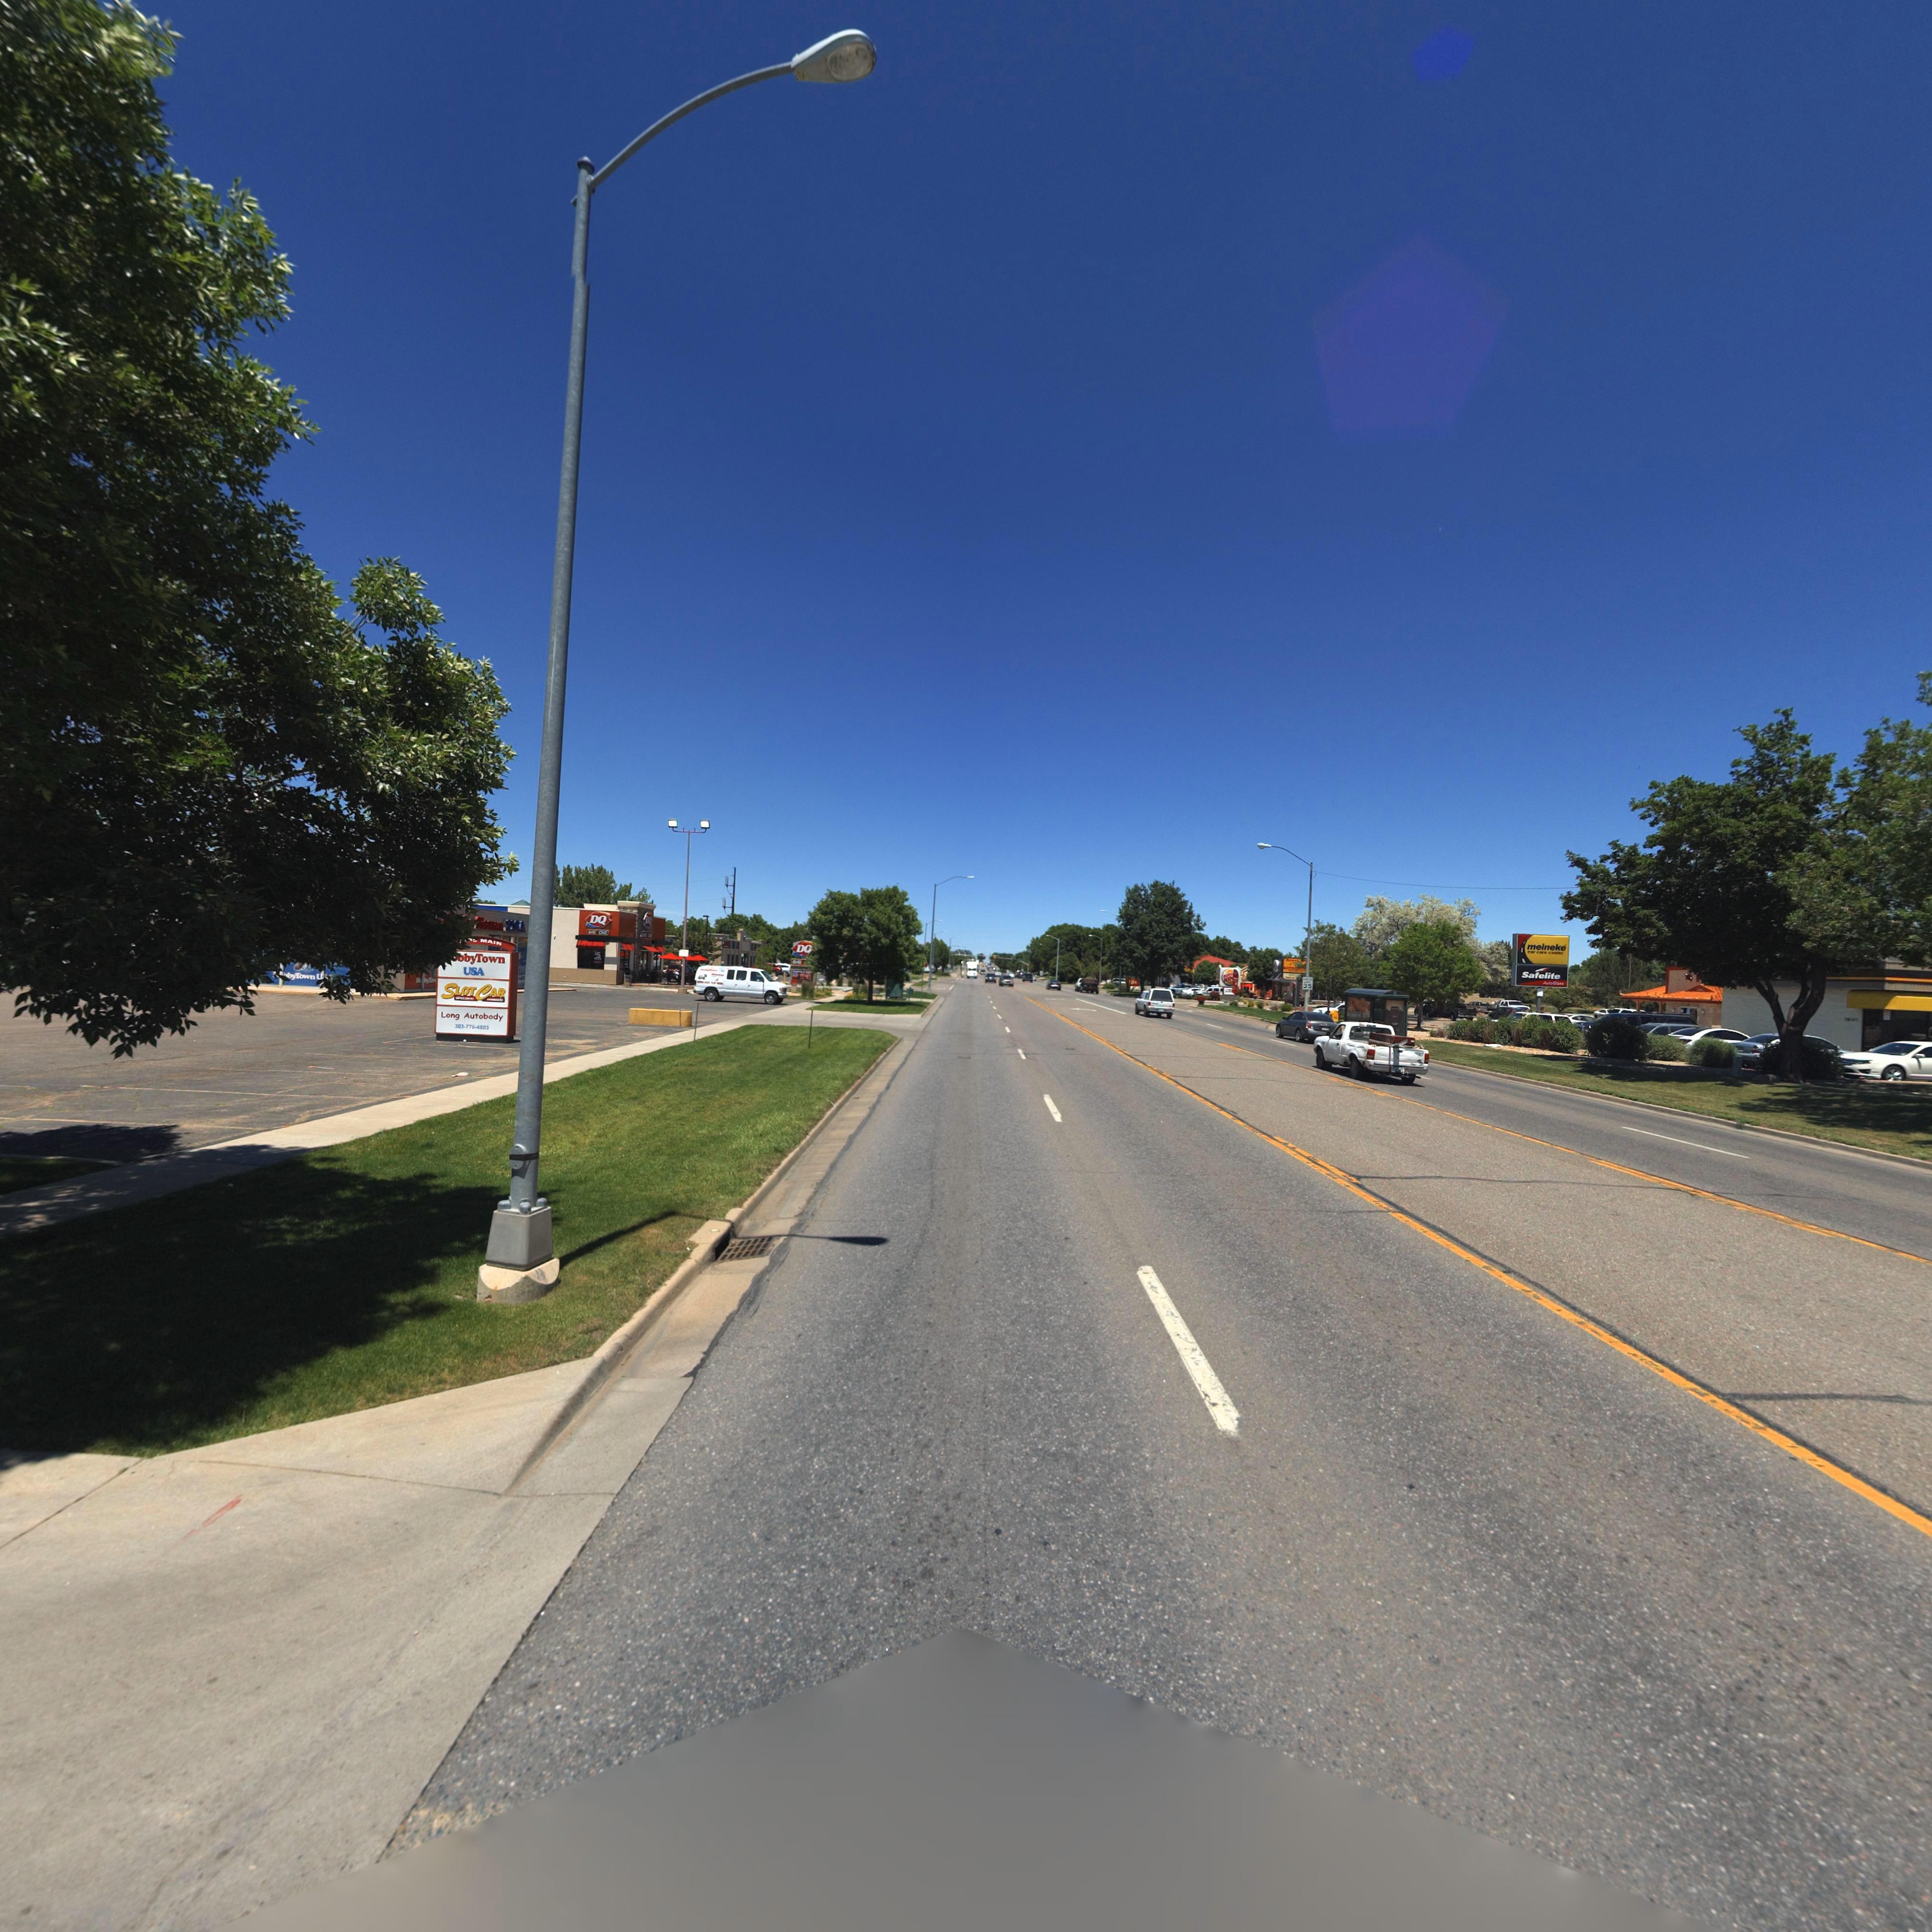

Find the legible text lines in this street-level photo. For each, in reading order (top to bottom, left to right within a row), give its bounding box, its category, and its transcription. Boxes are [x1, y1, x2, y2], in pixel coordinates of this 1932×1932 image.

[473, 915, 526, 932] BusinessName: Town USA
[589, 915, 607, 926] BusinessName: DQ
[645, 916, 652, 925] BusinessName: DQ
[588, 930, 608, 934] BusinessName: Grill & Chill
[480, 938, 502, 946] StreetName: MAIN
[795, 944, 812, 955] BusinessName: DQ
[1526, 950, 1564, 955] BusinessName: car care center
[1526, 943, 1566, 951] BusinessName: meineke
[457, 953, 505, 965] BusinessName: obyTown
[792, 959, 805, 964] BusinessName: Grill&
[1285, 958, 1299, 962] BusinessName: Royal
[463, 966, 485, 976] StreetName: USA
[1223, 972, 1233, 978] BusinessName: BURG
[1224, 976, 1233, 983] BusinessName: KIN
[1521, 971, 1562, 980] BusinessName: Safelite
[1542, 980, 1563, 985] BusinessName: AutoGlass
[441, 982, 506, 1000] BusinessName: SlotCar
[440, 1011, 504, 1022] BusinessName: Long Autobody
[1844, 1017, 1858, 1022] StreetNumber: 10**